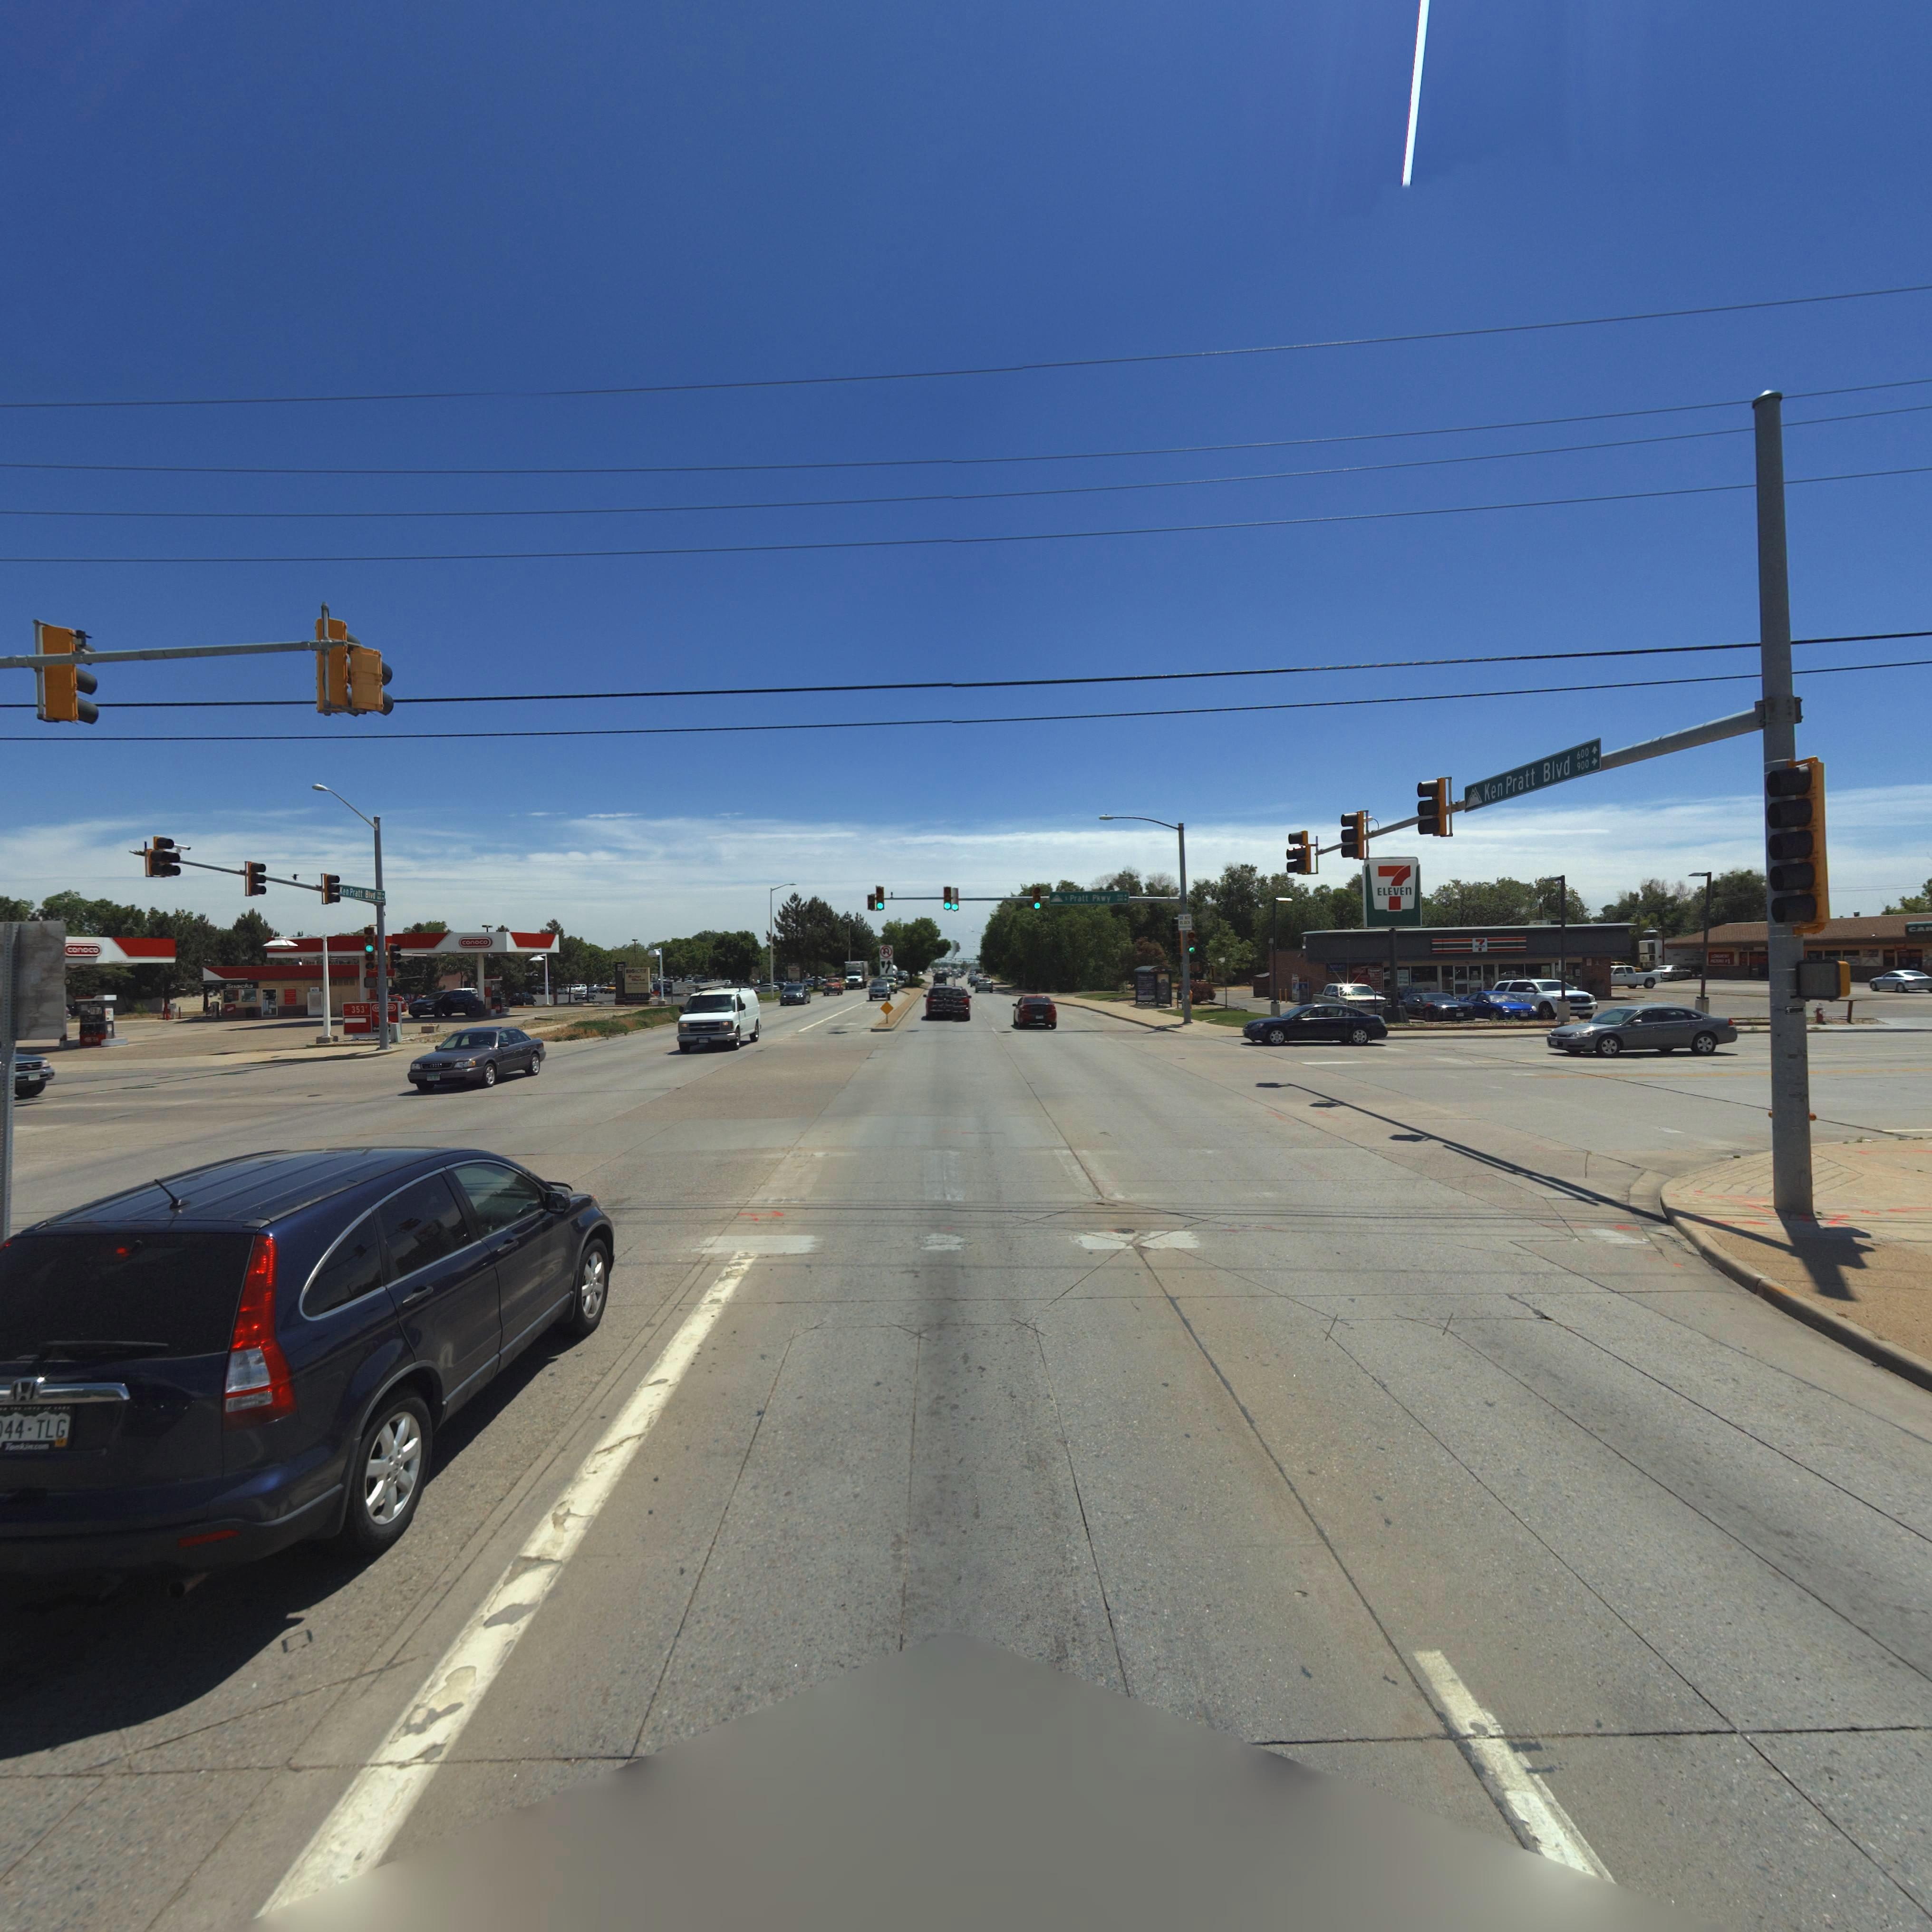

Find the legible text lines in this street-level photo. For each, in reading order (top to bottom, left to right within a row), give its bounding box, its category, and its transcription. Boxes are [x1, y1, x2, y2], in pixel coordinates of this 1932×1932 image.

[1576, 747, 1589, 759] StreetNumberRange: 600
[1576, 757, 1598, 771] StreetNumberRange: 900 ->
[1484, 755, 1572, 802] StreetName: Ken Pratt Blvd
[339, 886, 375, 899] StreetName: Ken Pratt Blvd
[1377, 887, 1412, 896] BusinessName: ELEVEN
[1064, 894, 1111, 903] StreetName: S Pratt Pkwy
[462, 940, 487, 945] BusinessName: conoco
[67, 947, 99, 953] BusinessName: conoco
[626, 968, 646, 973] BusinessName: BIG LOTS!
[628, 974, 641, 978] BusinessName: Lu***'s
[374, 1006, 394, 1010] BusinessName: c****o